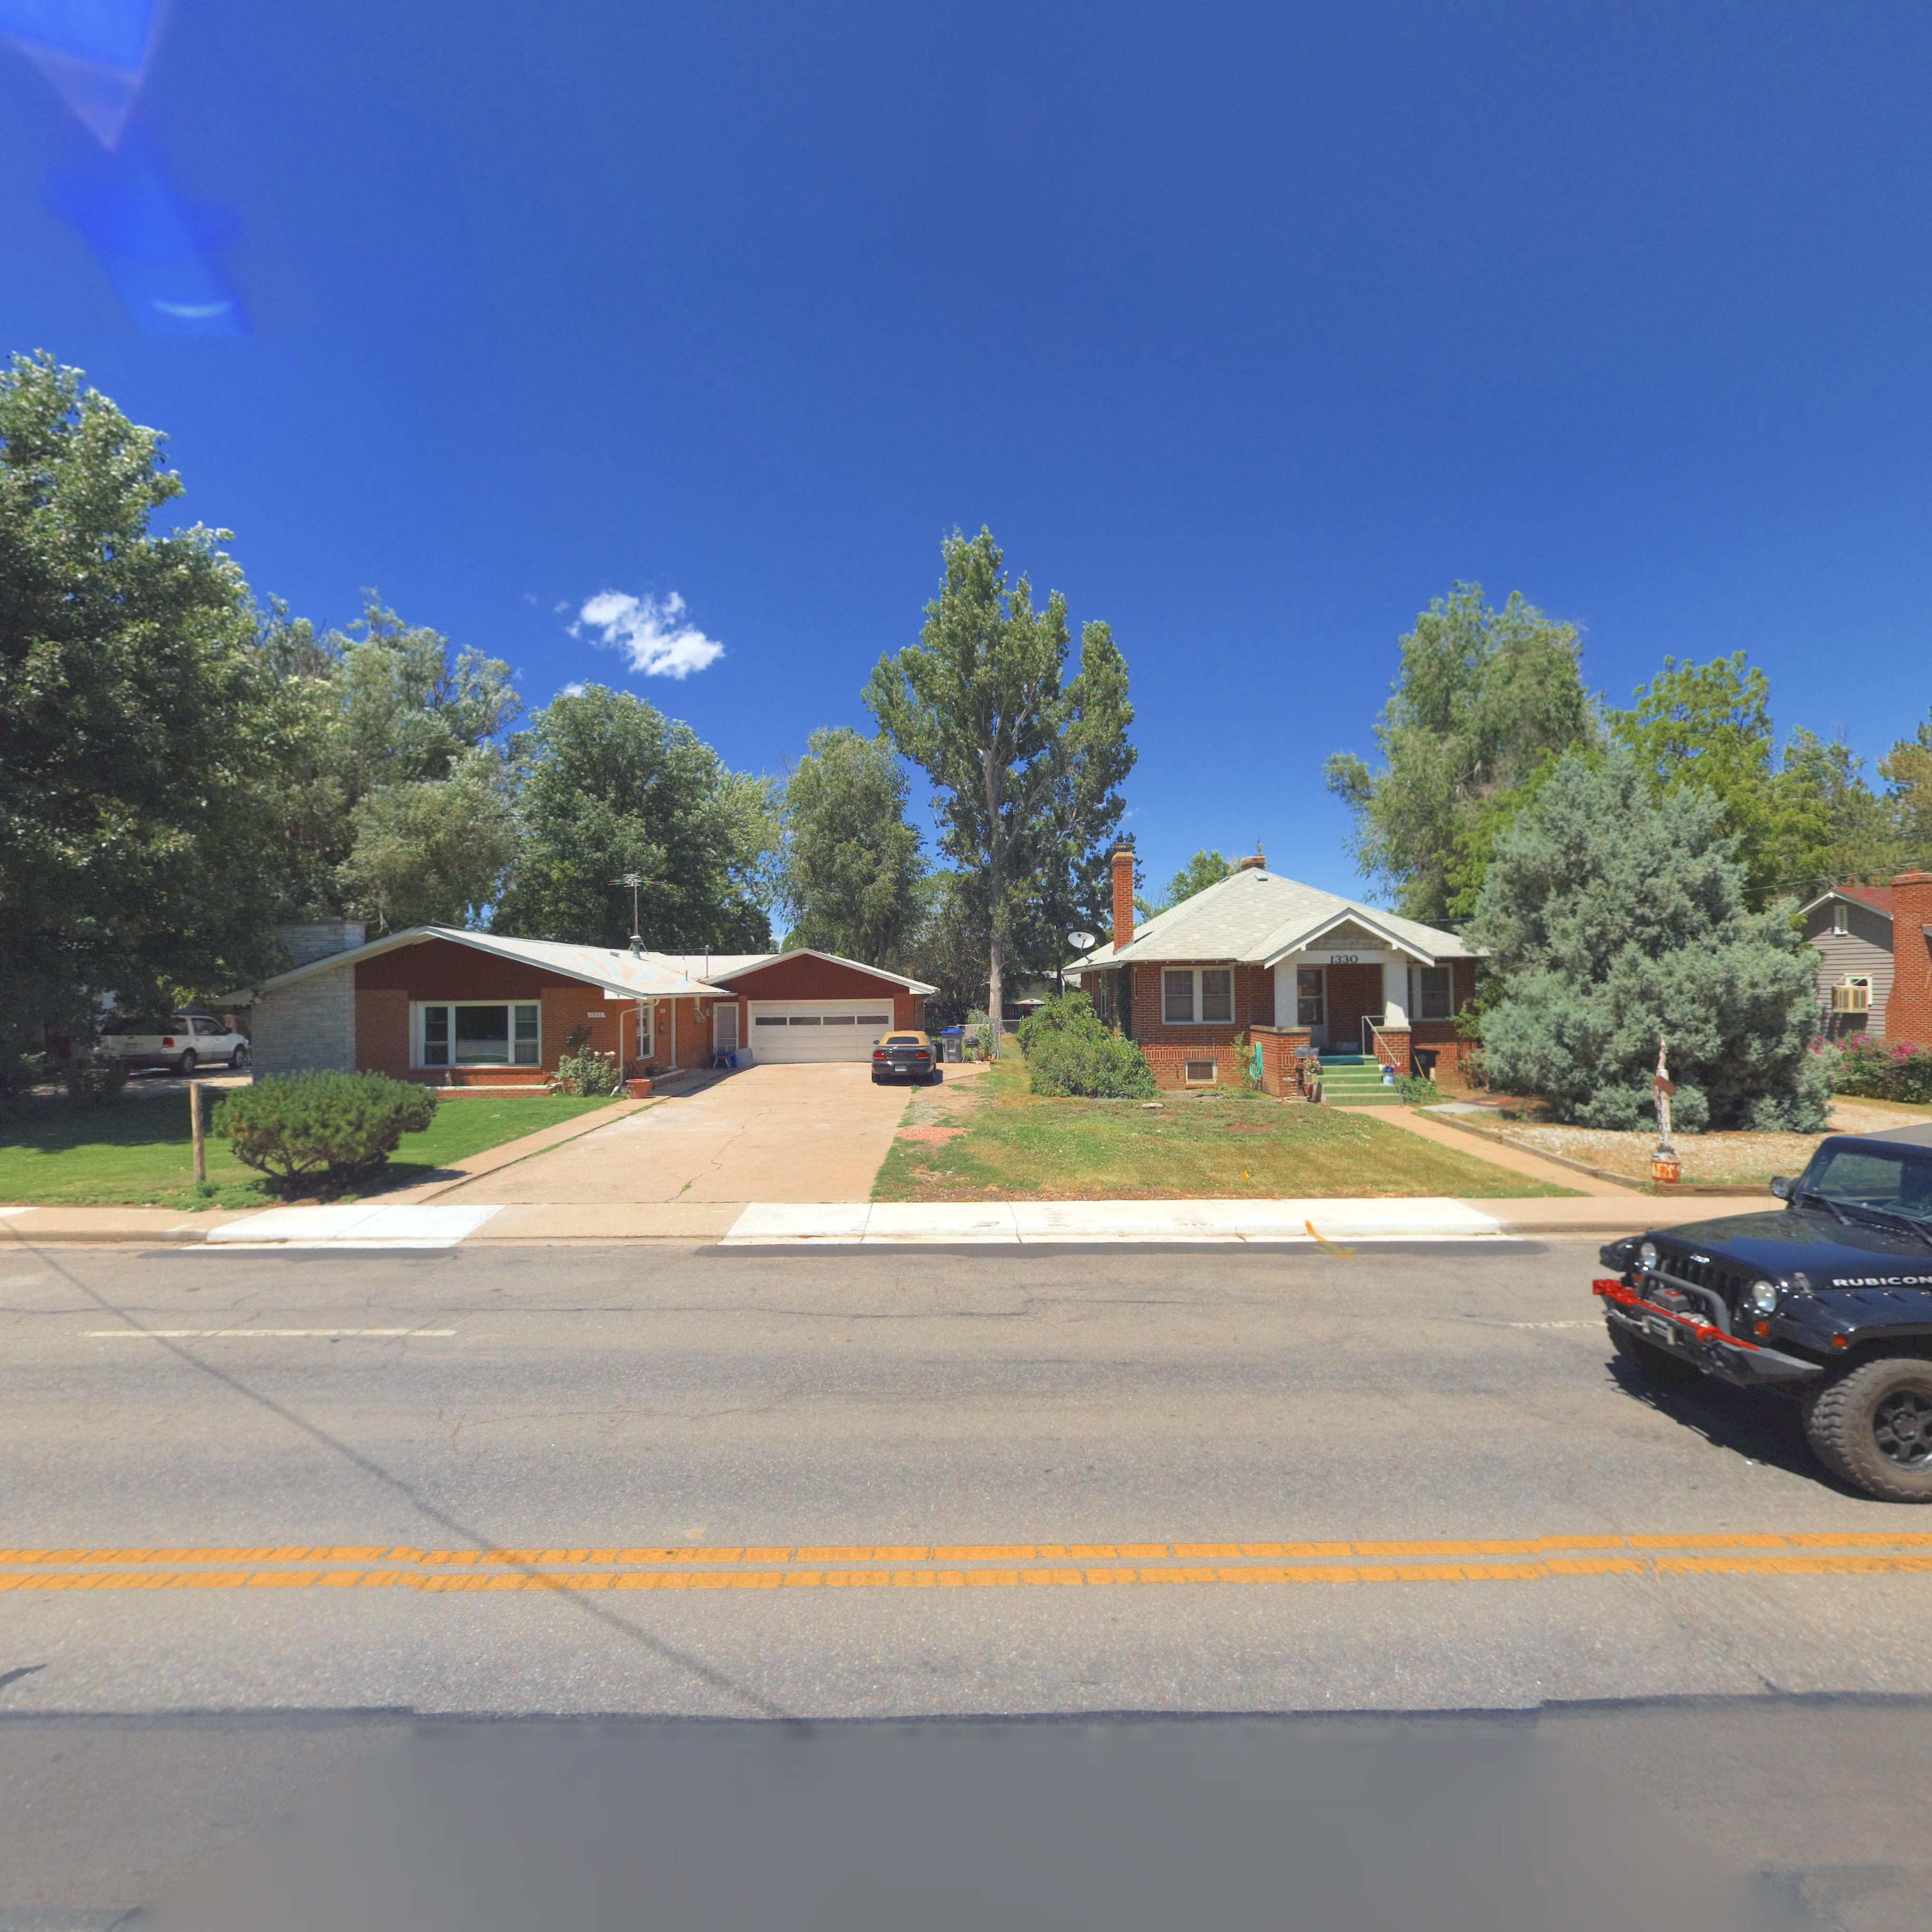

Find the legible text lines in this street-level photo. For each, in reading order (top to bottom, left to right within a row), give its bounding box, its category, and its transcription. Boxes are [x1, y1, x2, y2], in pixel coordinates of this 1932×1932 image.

[1330, 955, 1358, 964] StreetNumber: 1330
[589, 1012, 602, 1017] StreetNumber: 1336